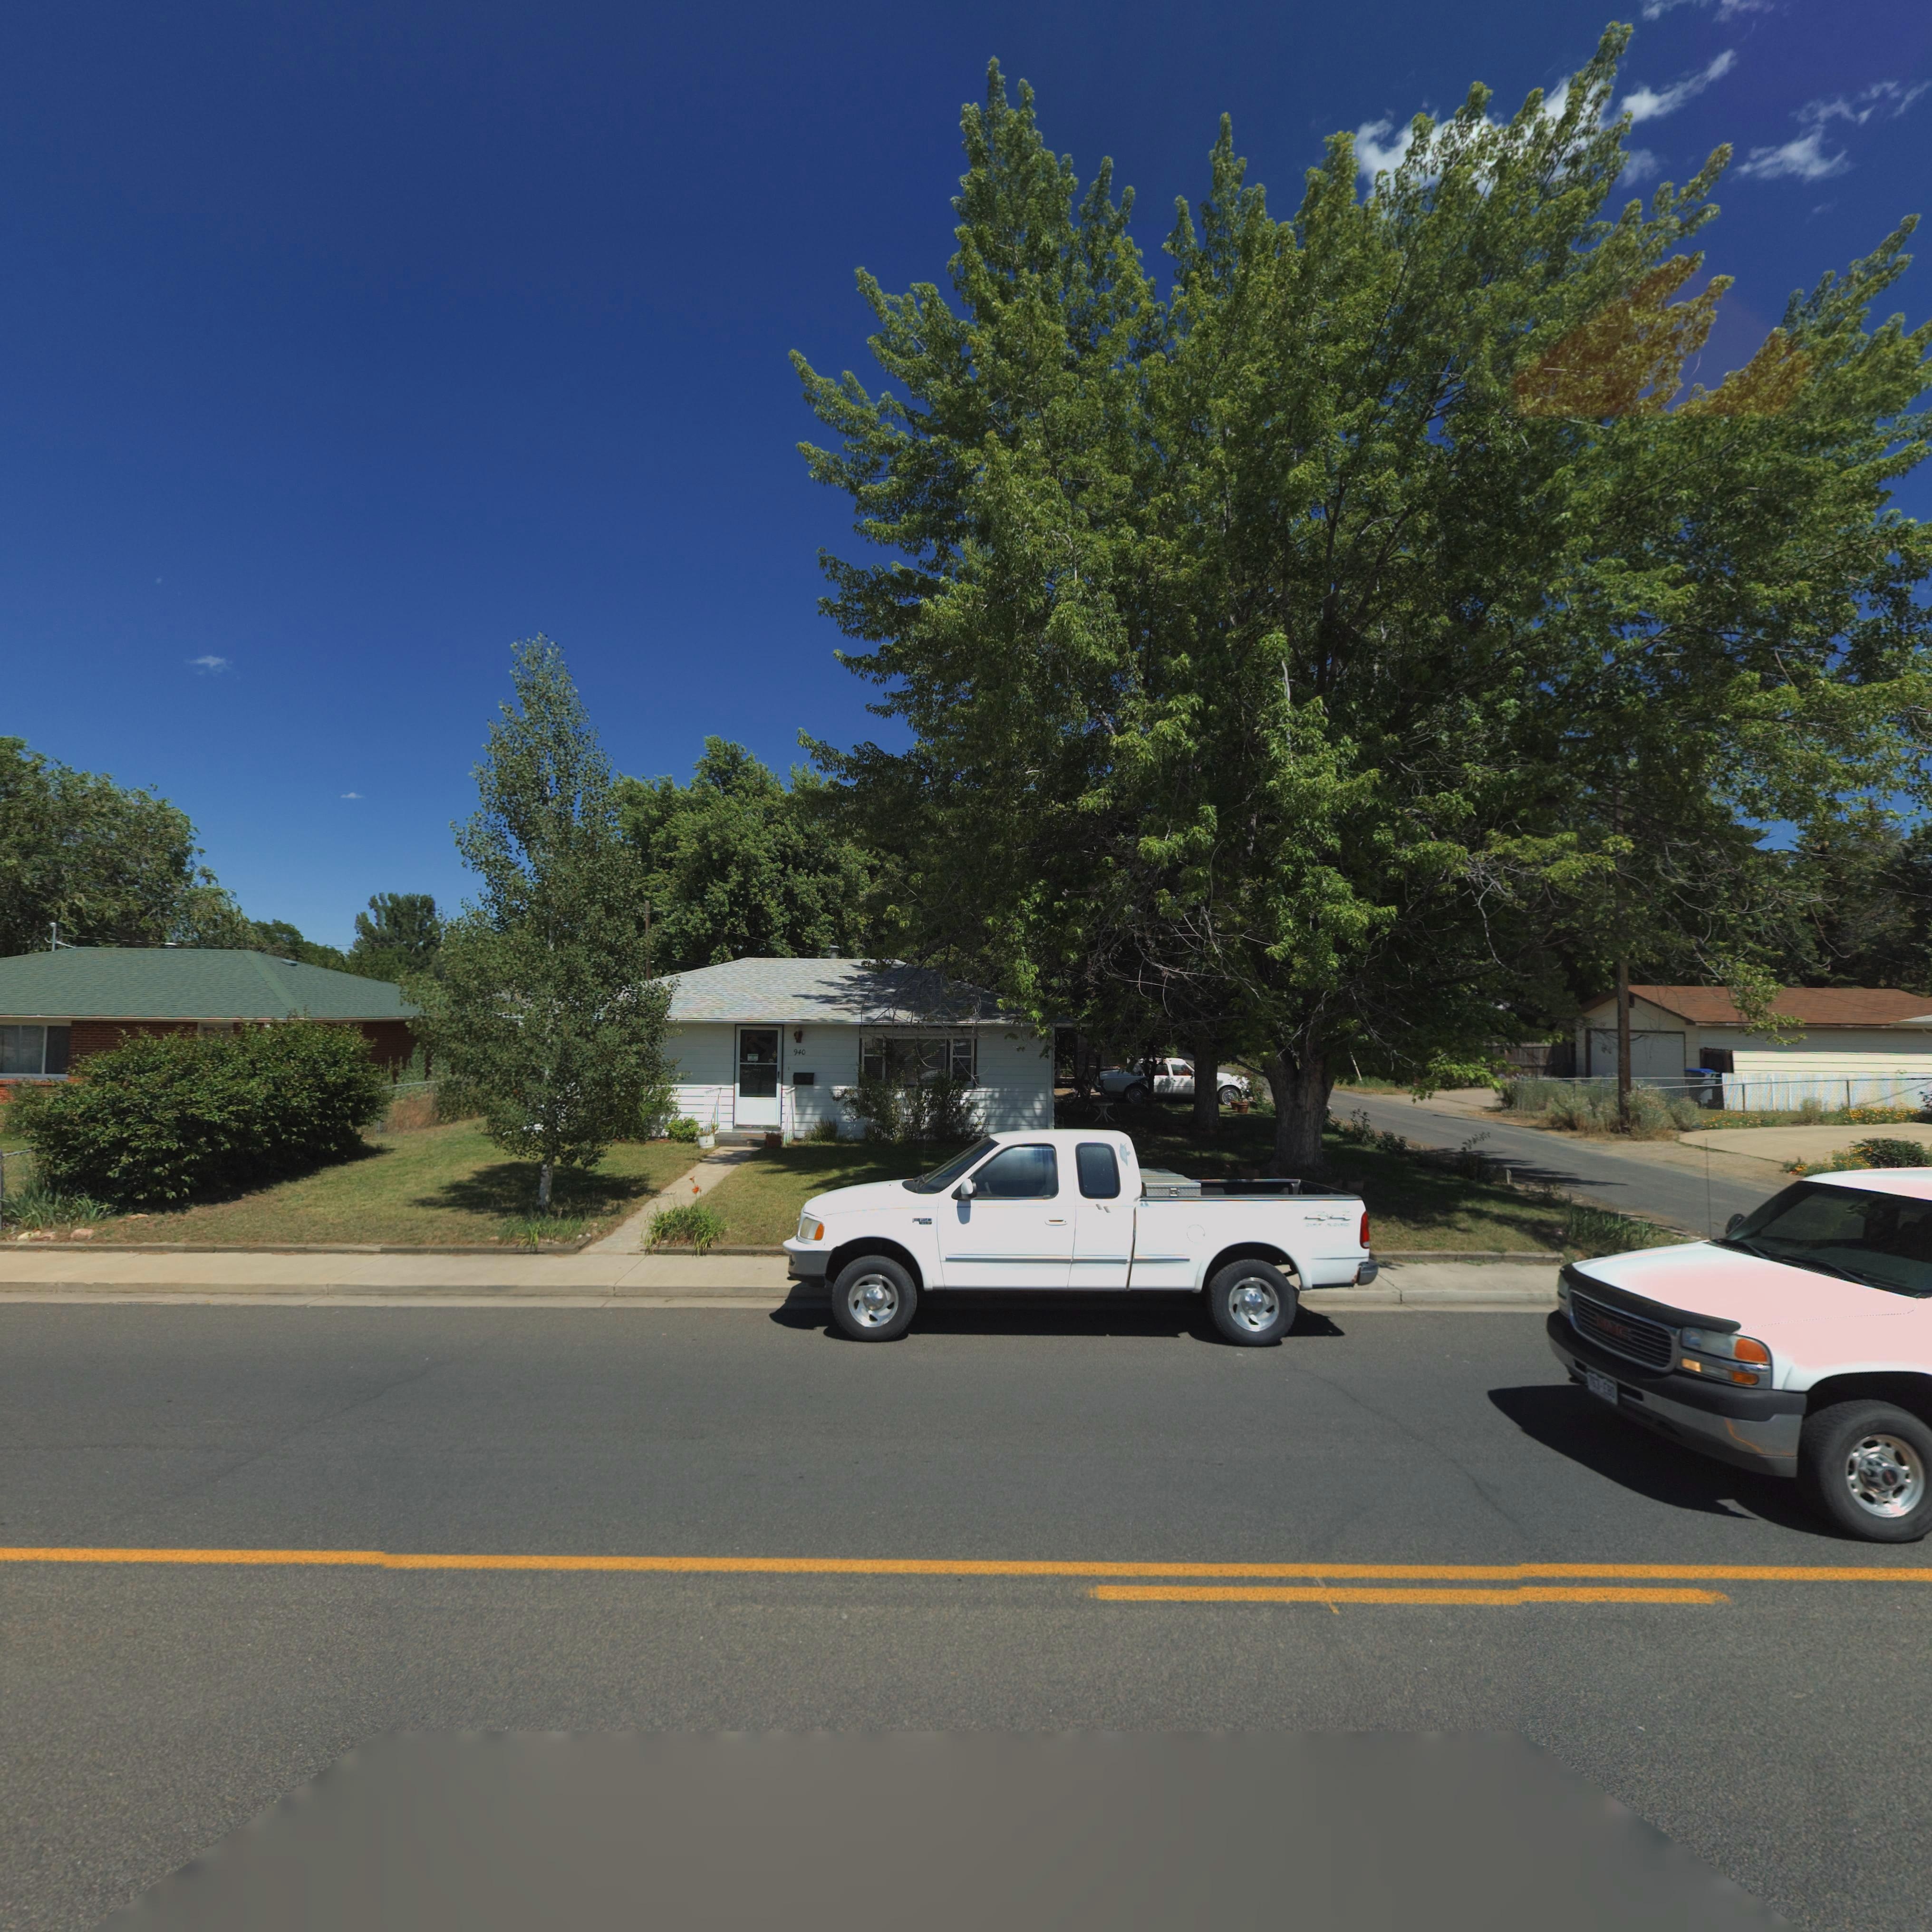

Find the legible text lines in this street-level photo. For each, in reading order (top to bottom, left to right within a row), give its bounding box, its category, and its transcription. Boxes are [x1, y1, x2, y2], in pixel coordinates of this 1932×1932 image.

[793, 1048, 806, 1056] StreetNumber: 940